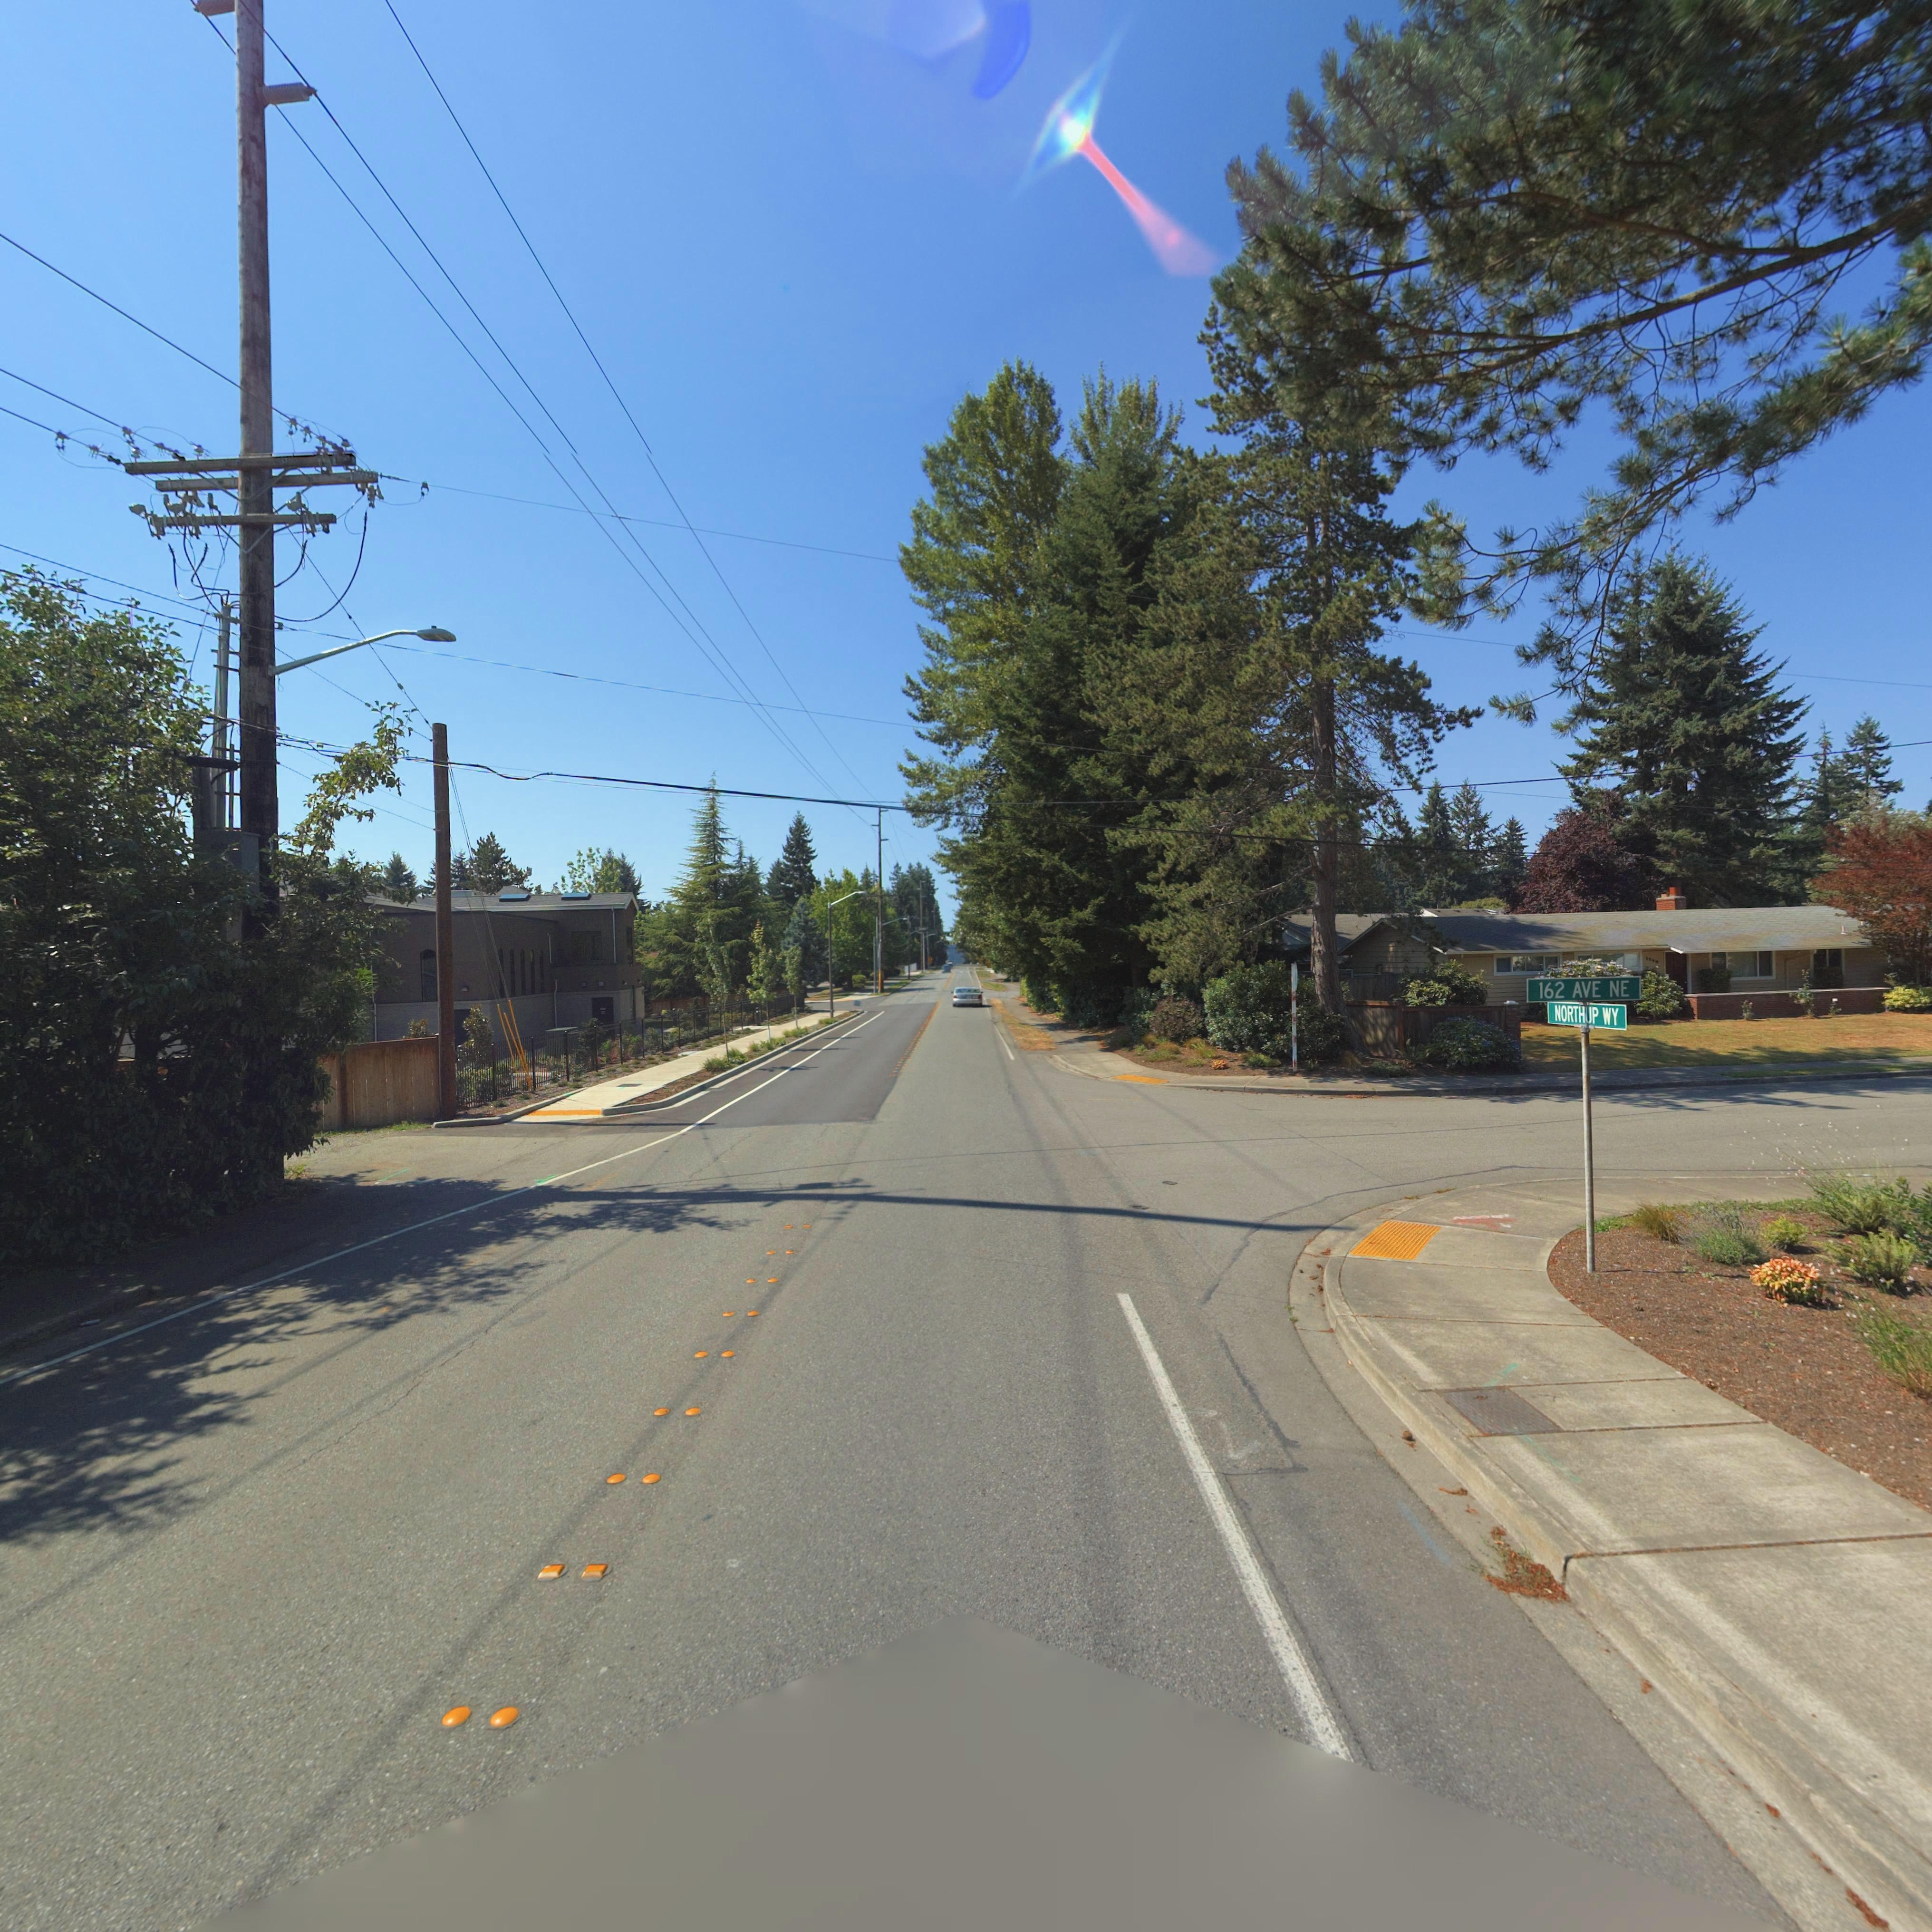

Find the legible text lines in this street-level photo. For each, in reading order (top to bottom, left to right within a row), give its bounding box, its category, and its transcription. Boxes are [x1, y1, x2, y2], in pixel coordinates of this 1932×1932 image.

[1537, 980, 1629, 999] StreetName: 162 AVE NE
[1555, 1005, 1620, 1025] StreetName: NORTHUP WY